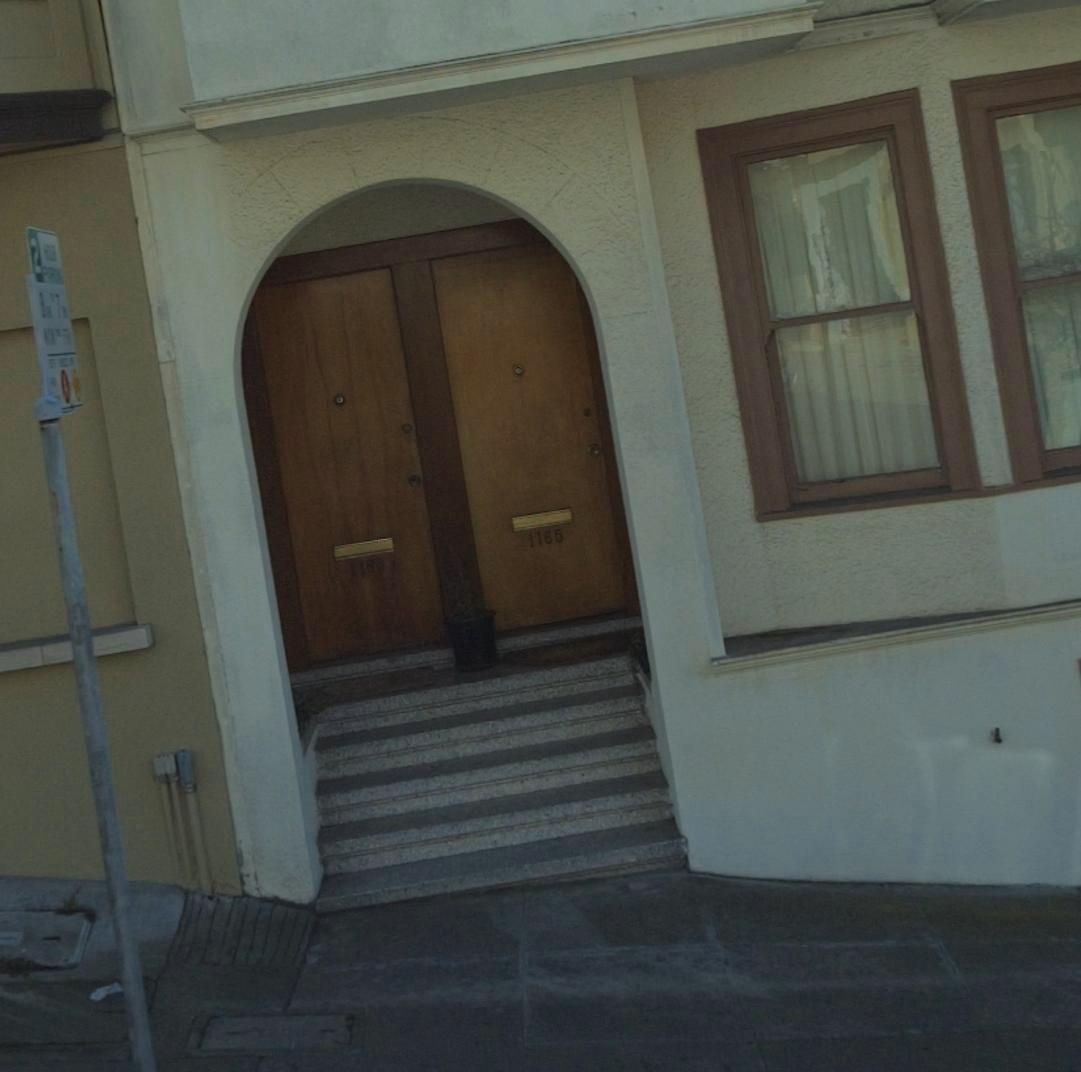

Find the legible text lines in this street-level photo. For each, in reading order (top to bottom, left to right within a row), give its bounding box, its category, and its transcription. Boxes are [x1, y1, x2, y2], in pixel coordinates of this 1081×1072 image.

[28, 236, 45, 276] None: 2
[525, 527, 566, 550] StreetNumber: 1165
[347, 553, 388, 577] StreetNumber: 1163